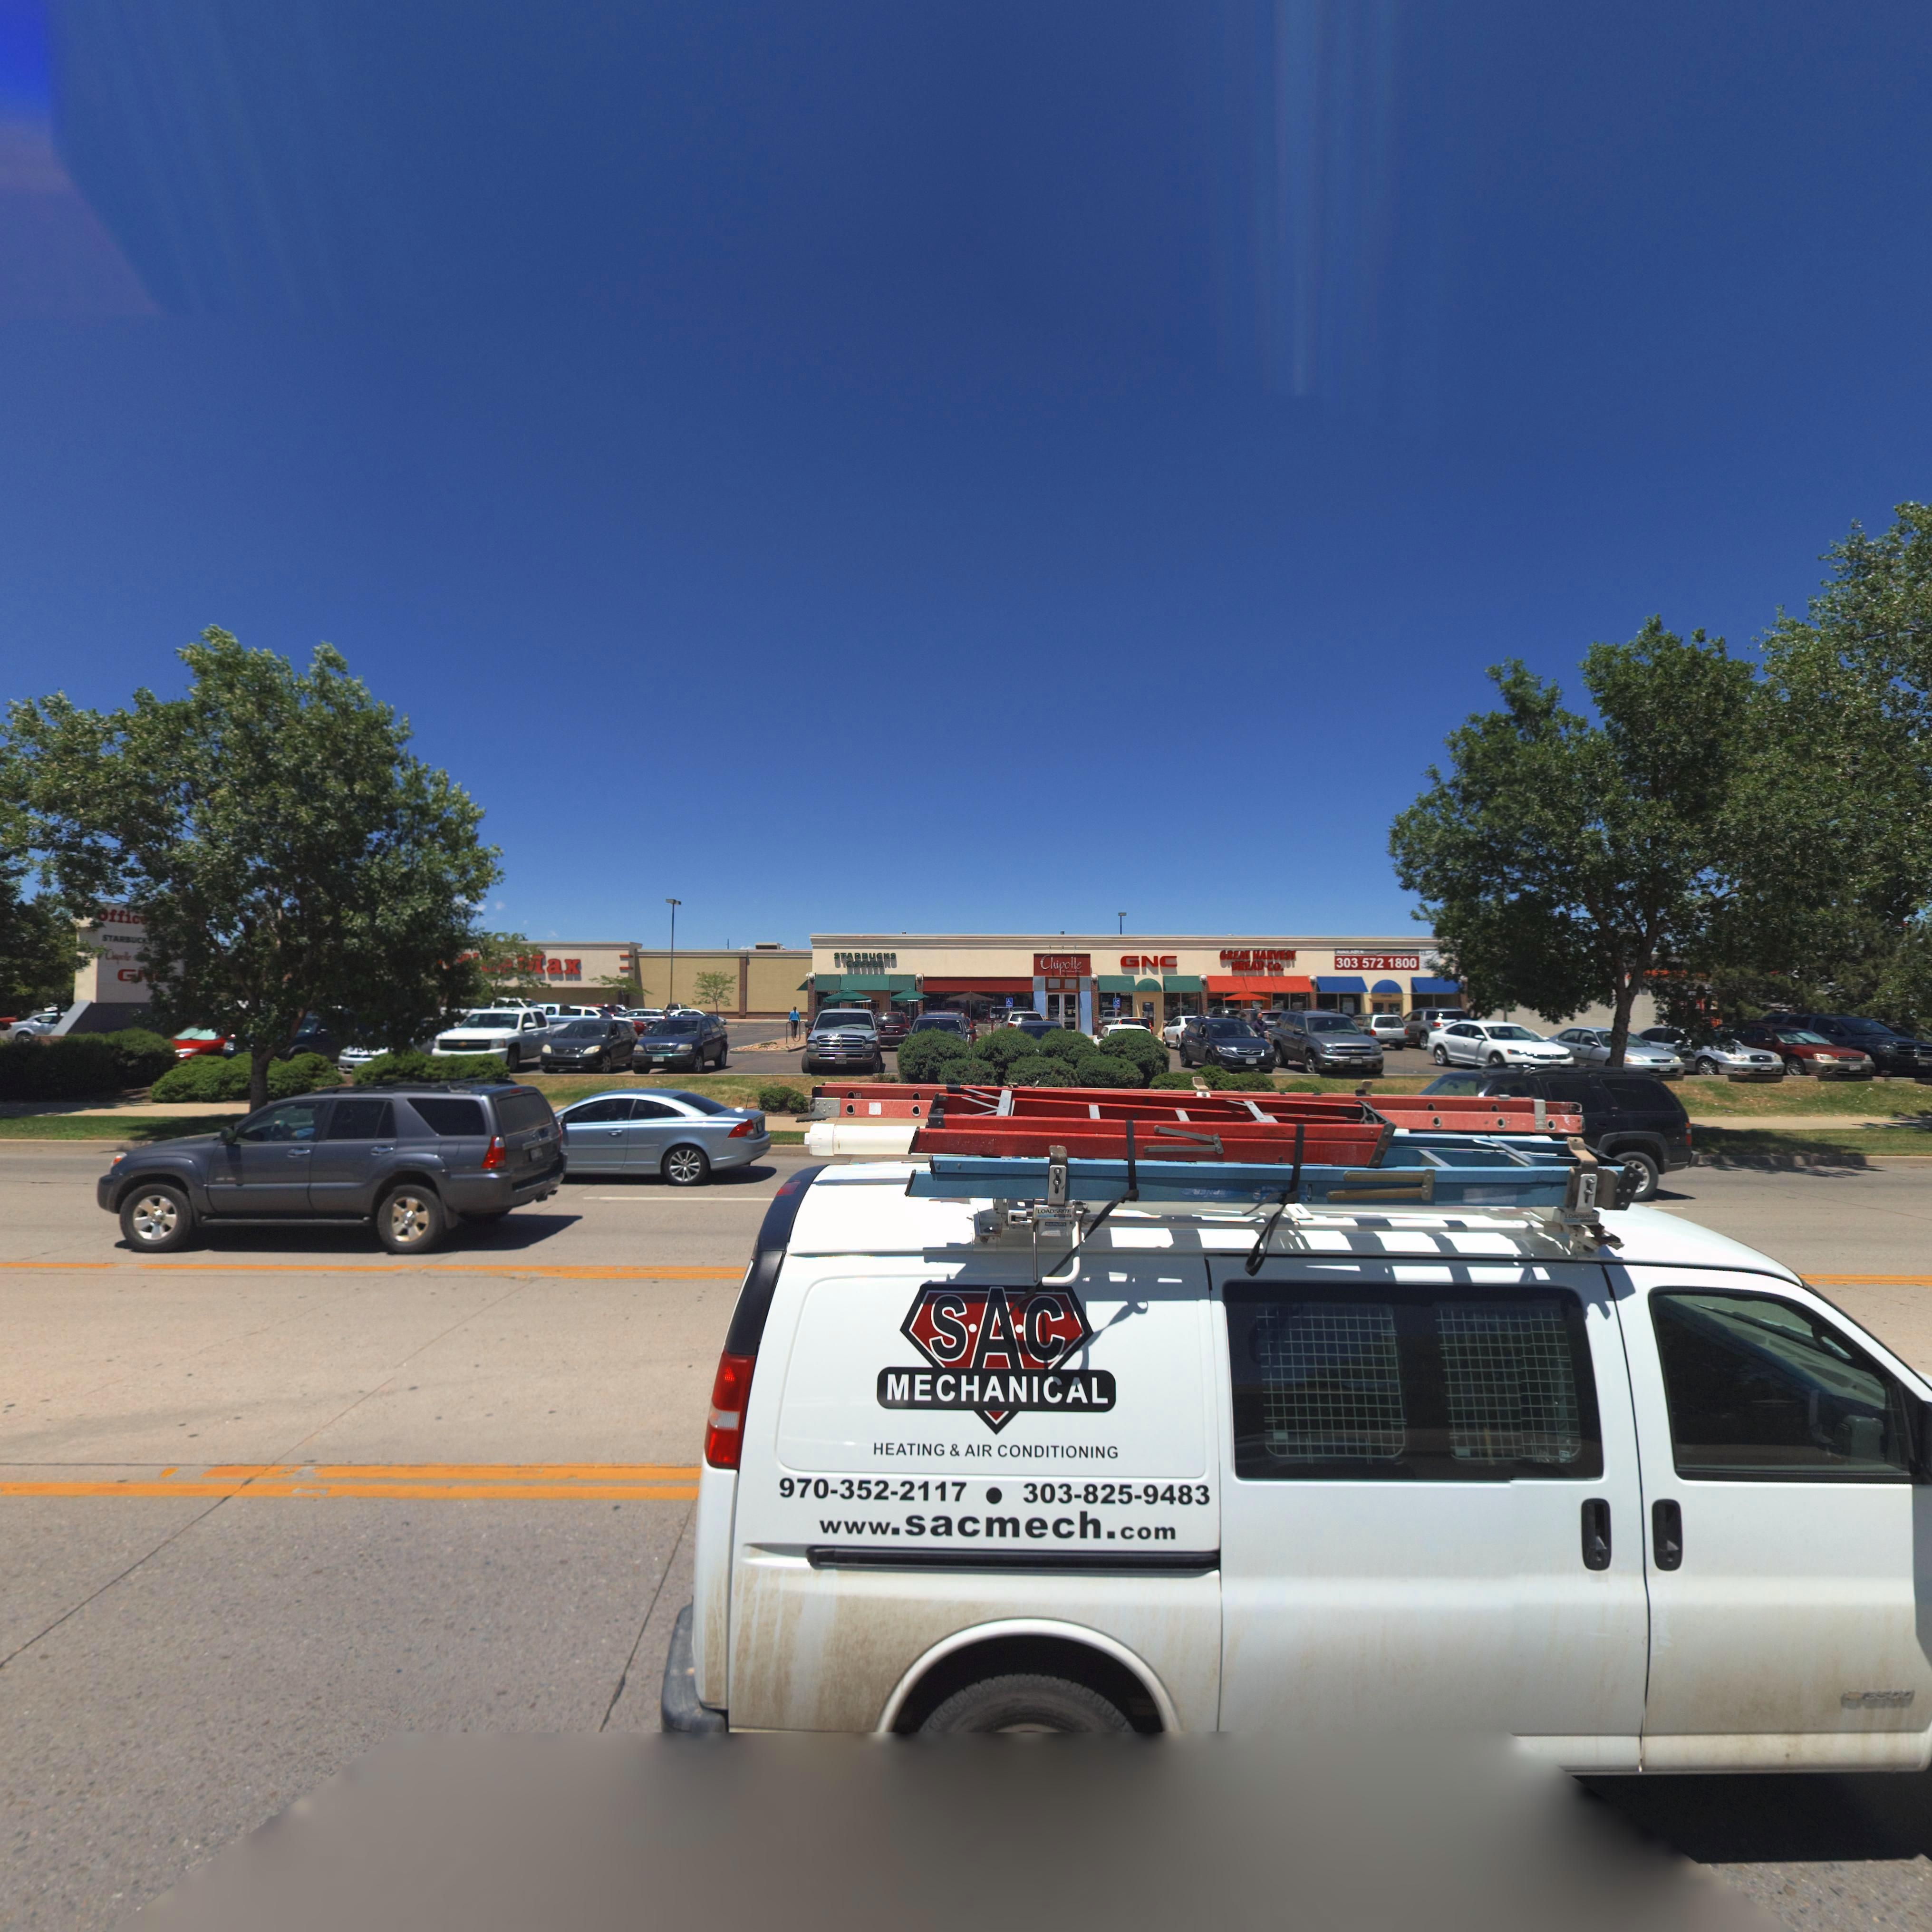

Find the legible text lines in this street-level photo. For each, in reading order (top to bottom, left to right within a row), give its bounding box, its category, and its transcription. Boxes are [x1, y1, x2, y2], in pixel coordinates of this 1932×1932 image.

[109, 908, 140, 925] BusinessName: ffic
[102, 933, 148, 944] BusinessName: STARBUCK
[105, 948, 132, 966] BusinessName: C***o***
[515, 954, 580, 975] BusinessName: *ax
[833, 952, 896, 959] BusinessName: STARBUCKS
[846, 960, 884, 968] BusinessName: COFFEE
[1039, 954, 1082, 975] BusinessName: Chipotle
[1120, 955, 1178, 968] BusinessName: GNC
[1220, 949, 1296, 960] BusinessName: GREAT HARVEST
[1232, 960, 1285, 971] BusinessName: BREAD Co.
[116, 968, 136, 982] StreetNumber: G
[827, 992, 836, 995] StreetNumber: 1100